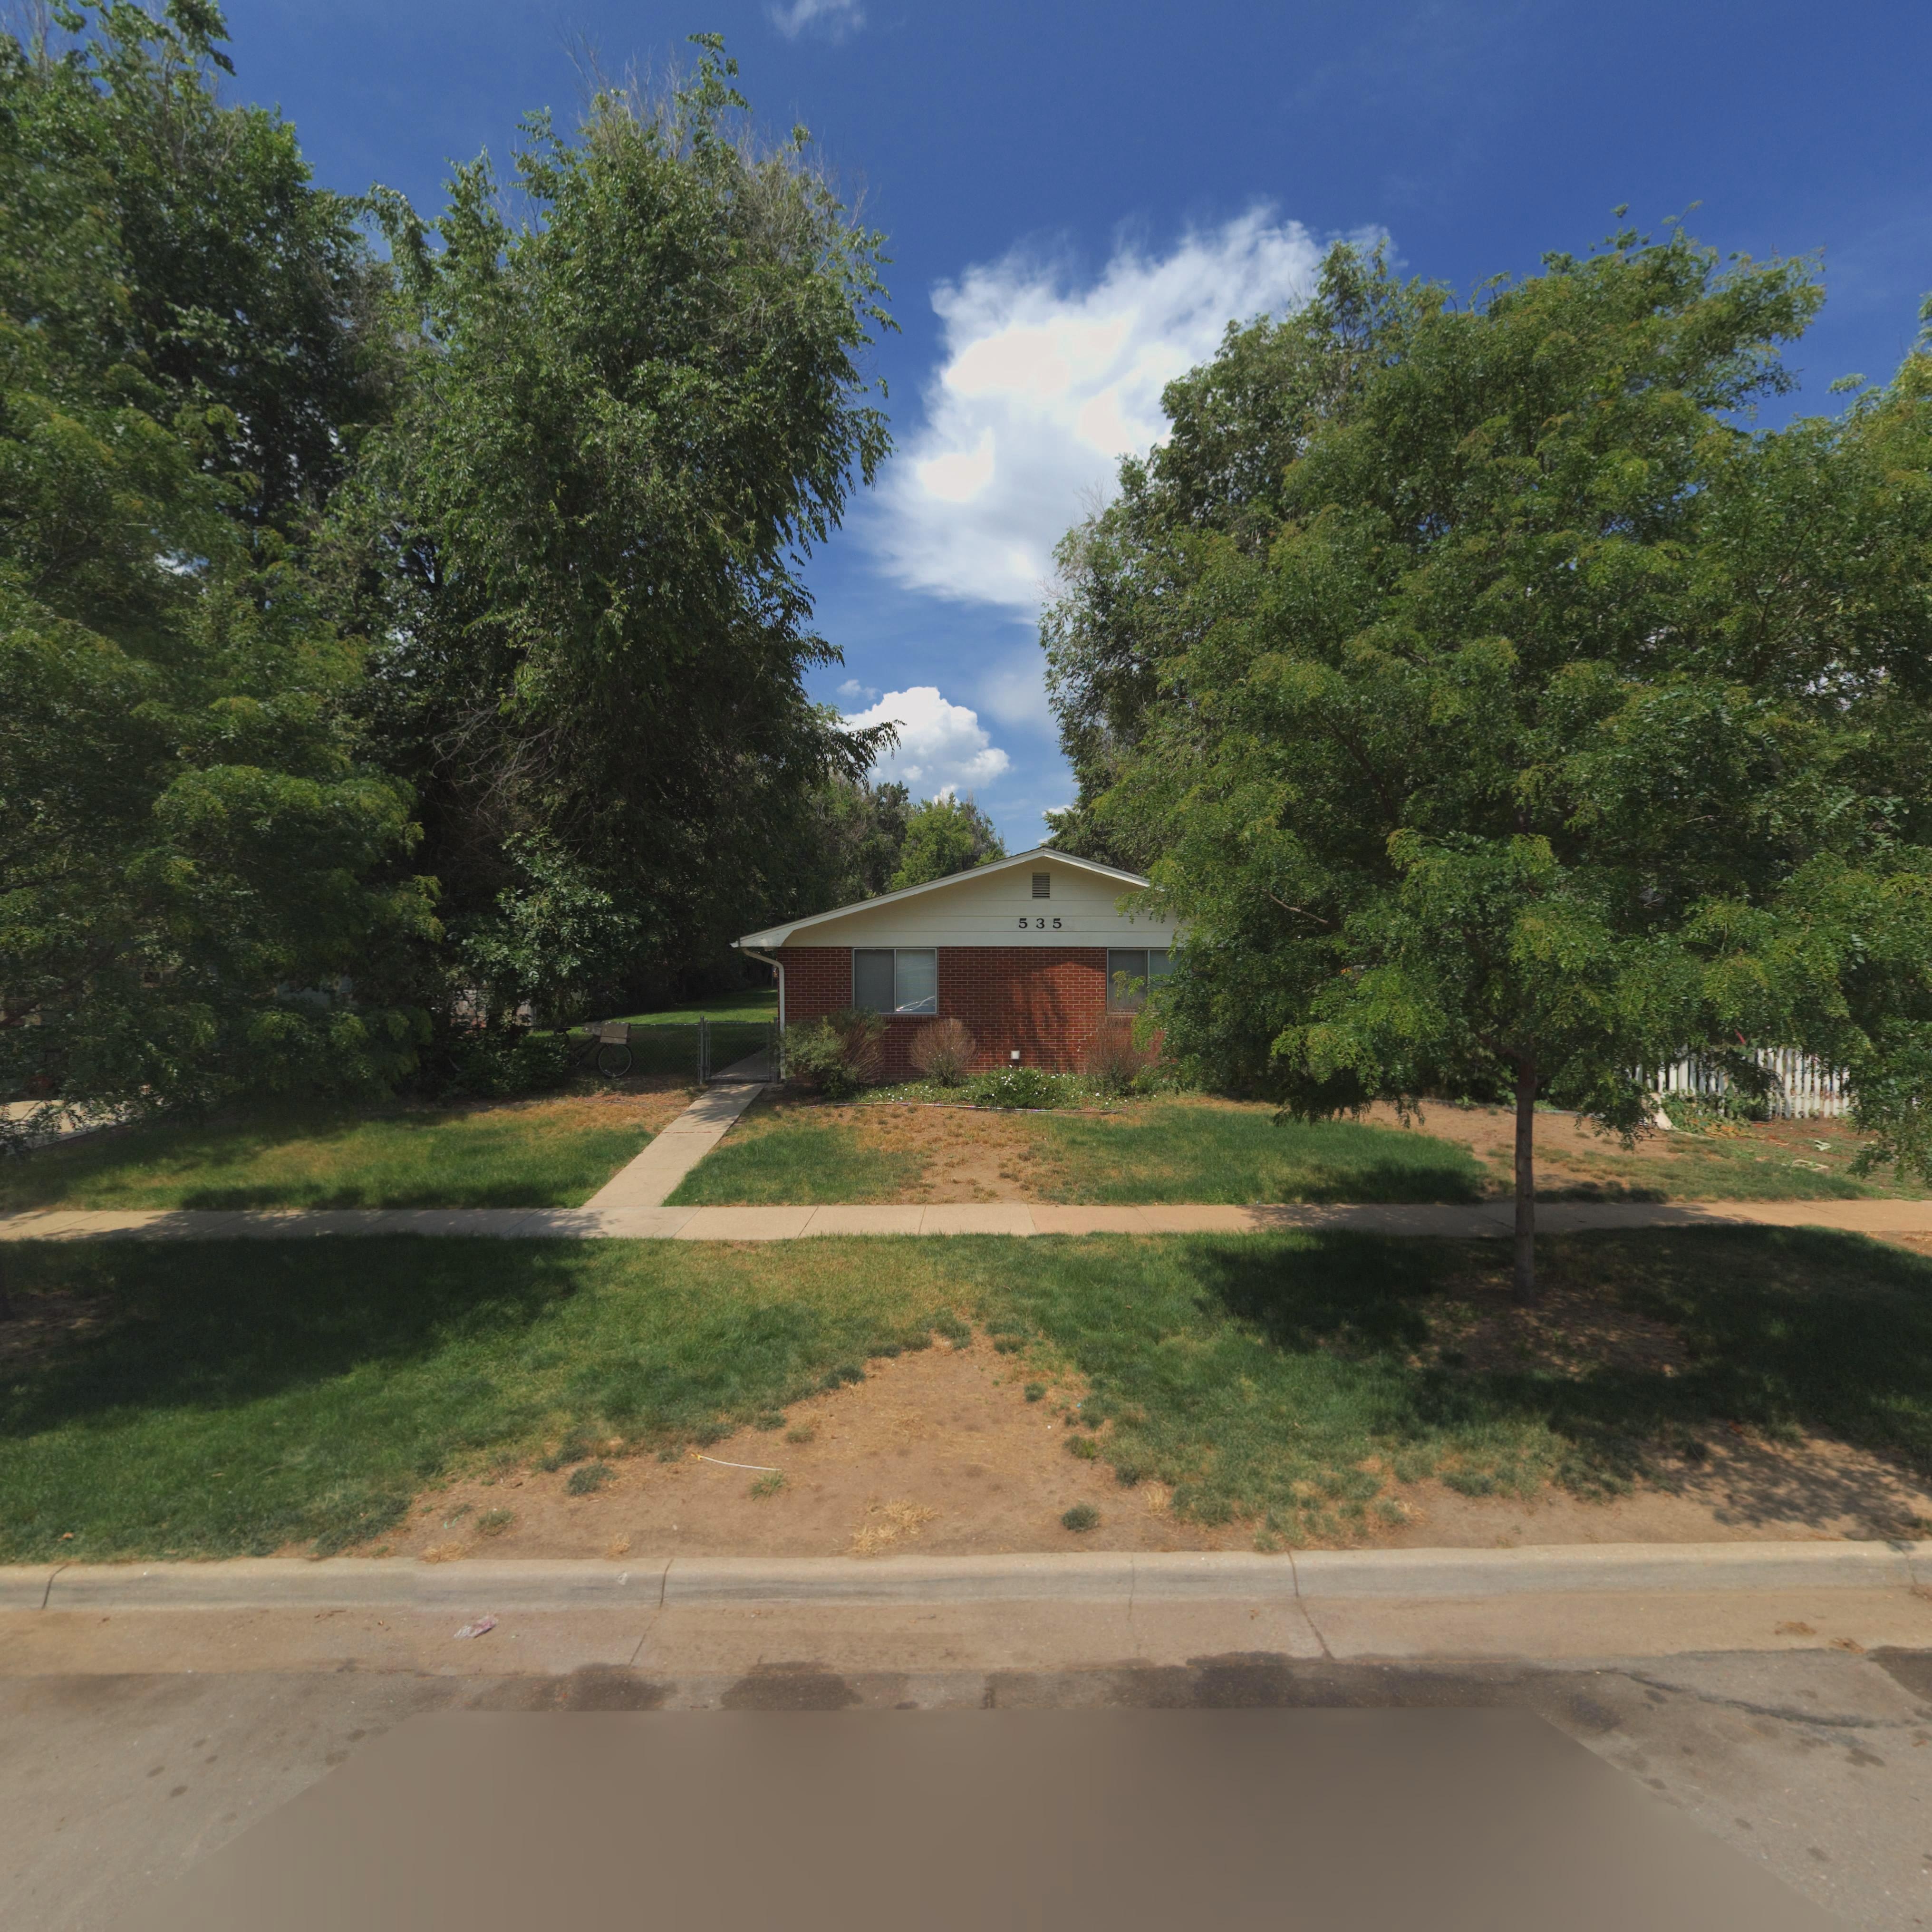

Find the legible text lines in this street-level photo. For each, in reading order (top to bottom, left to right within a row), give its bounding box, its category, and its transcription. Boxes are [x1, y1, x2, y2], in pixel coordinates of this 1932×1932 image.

[1018, 918, 1062, 928] StreetNumber: 535